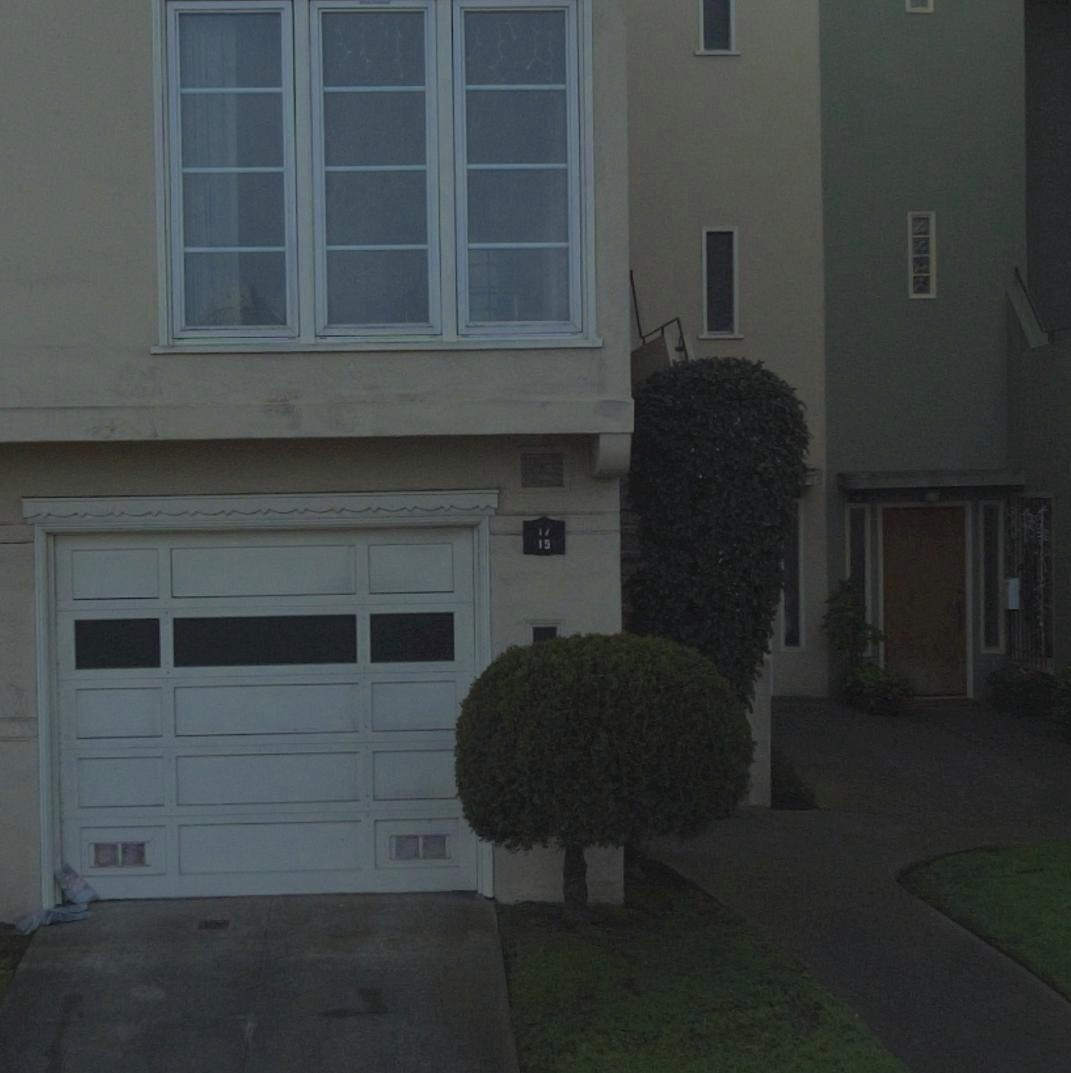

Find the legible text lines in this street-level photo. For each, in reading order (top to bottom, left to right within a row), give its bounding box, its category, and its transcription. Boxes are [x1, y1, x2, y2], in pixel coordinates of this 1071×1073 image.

[535, 524, 553, 539] StreetNumber: 17
[536, 537, 553, 552] StreetNumber: 15